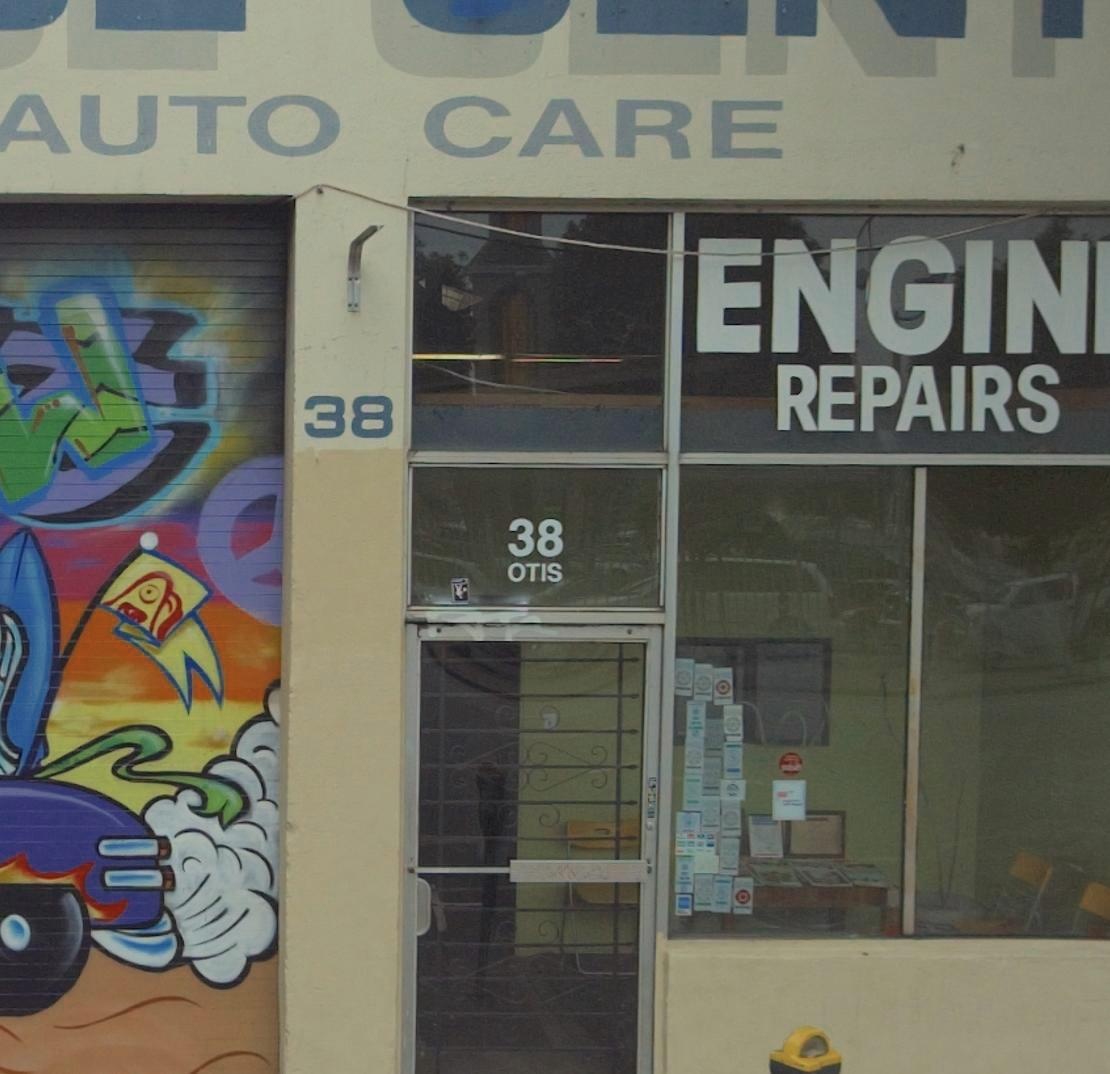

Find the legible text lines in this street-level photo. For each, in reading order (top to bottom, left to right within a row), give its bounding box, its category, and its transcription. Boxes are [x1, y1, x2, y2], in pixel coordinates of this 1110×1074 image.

[70, 82, 793, 167] None: UTO CARE
[692, 231, 1095, 361] None: ENGIN
[300, 391, 397, 441] StreetNumber: 38
[772, 358, 1066, 438] None: REPAIRS
[505, 515, 566, 559] StreetNumber: 38
[505, 559, 566, 586] StreetName: OTIS